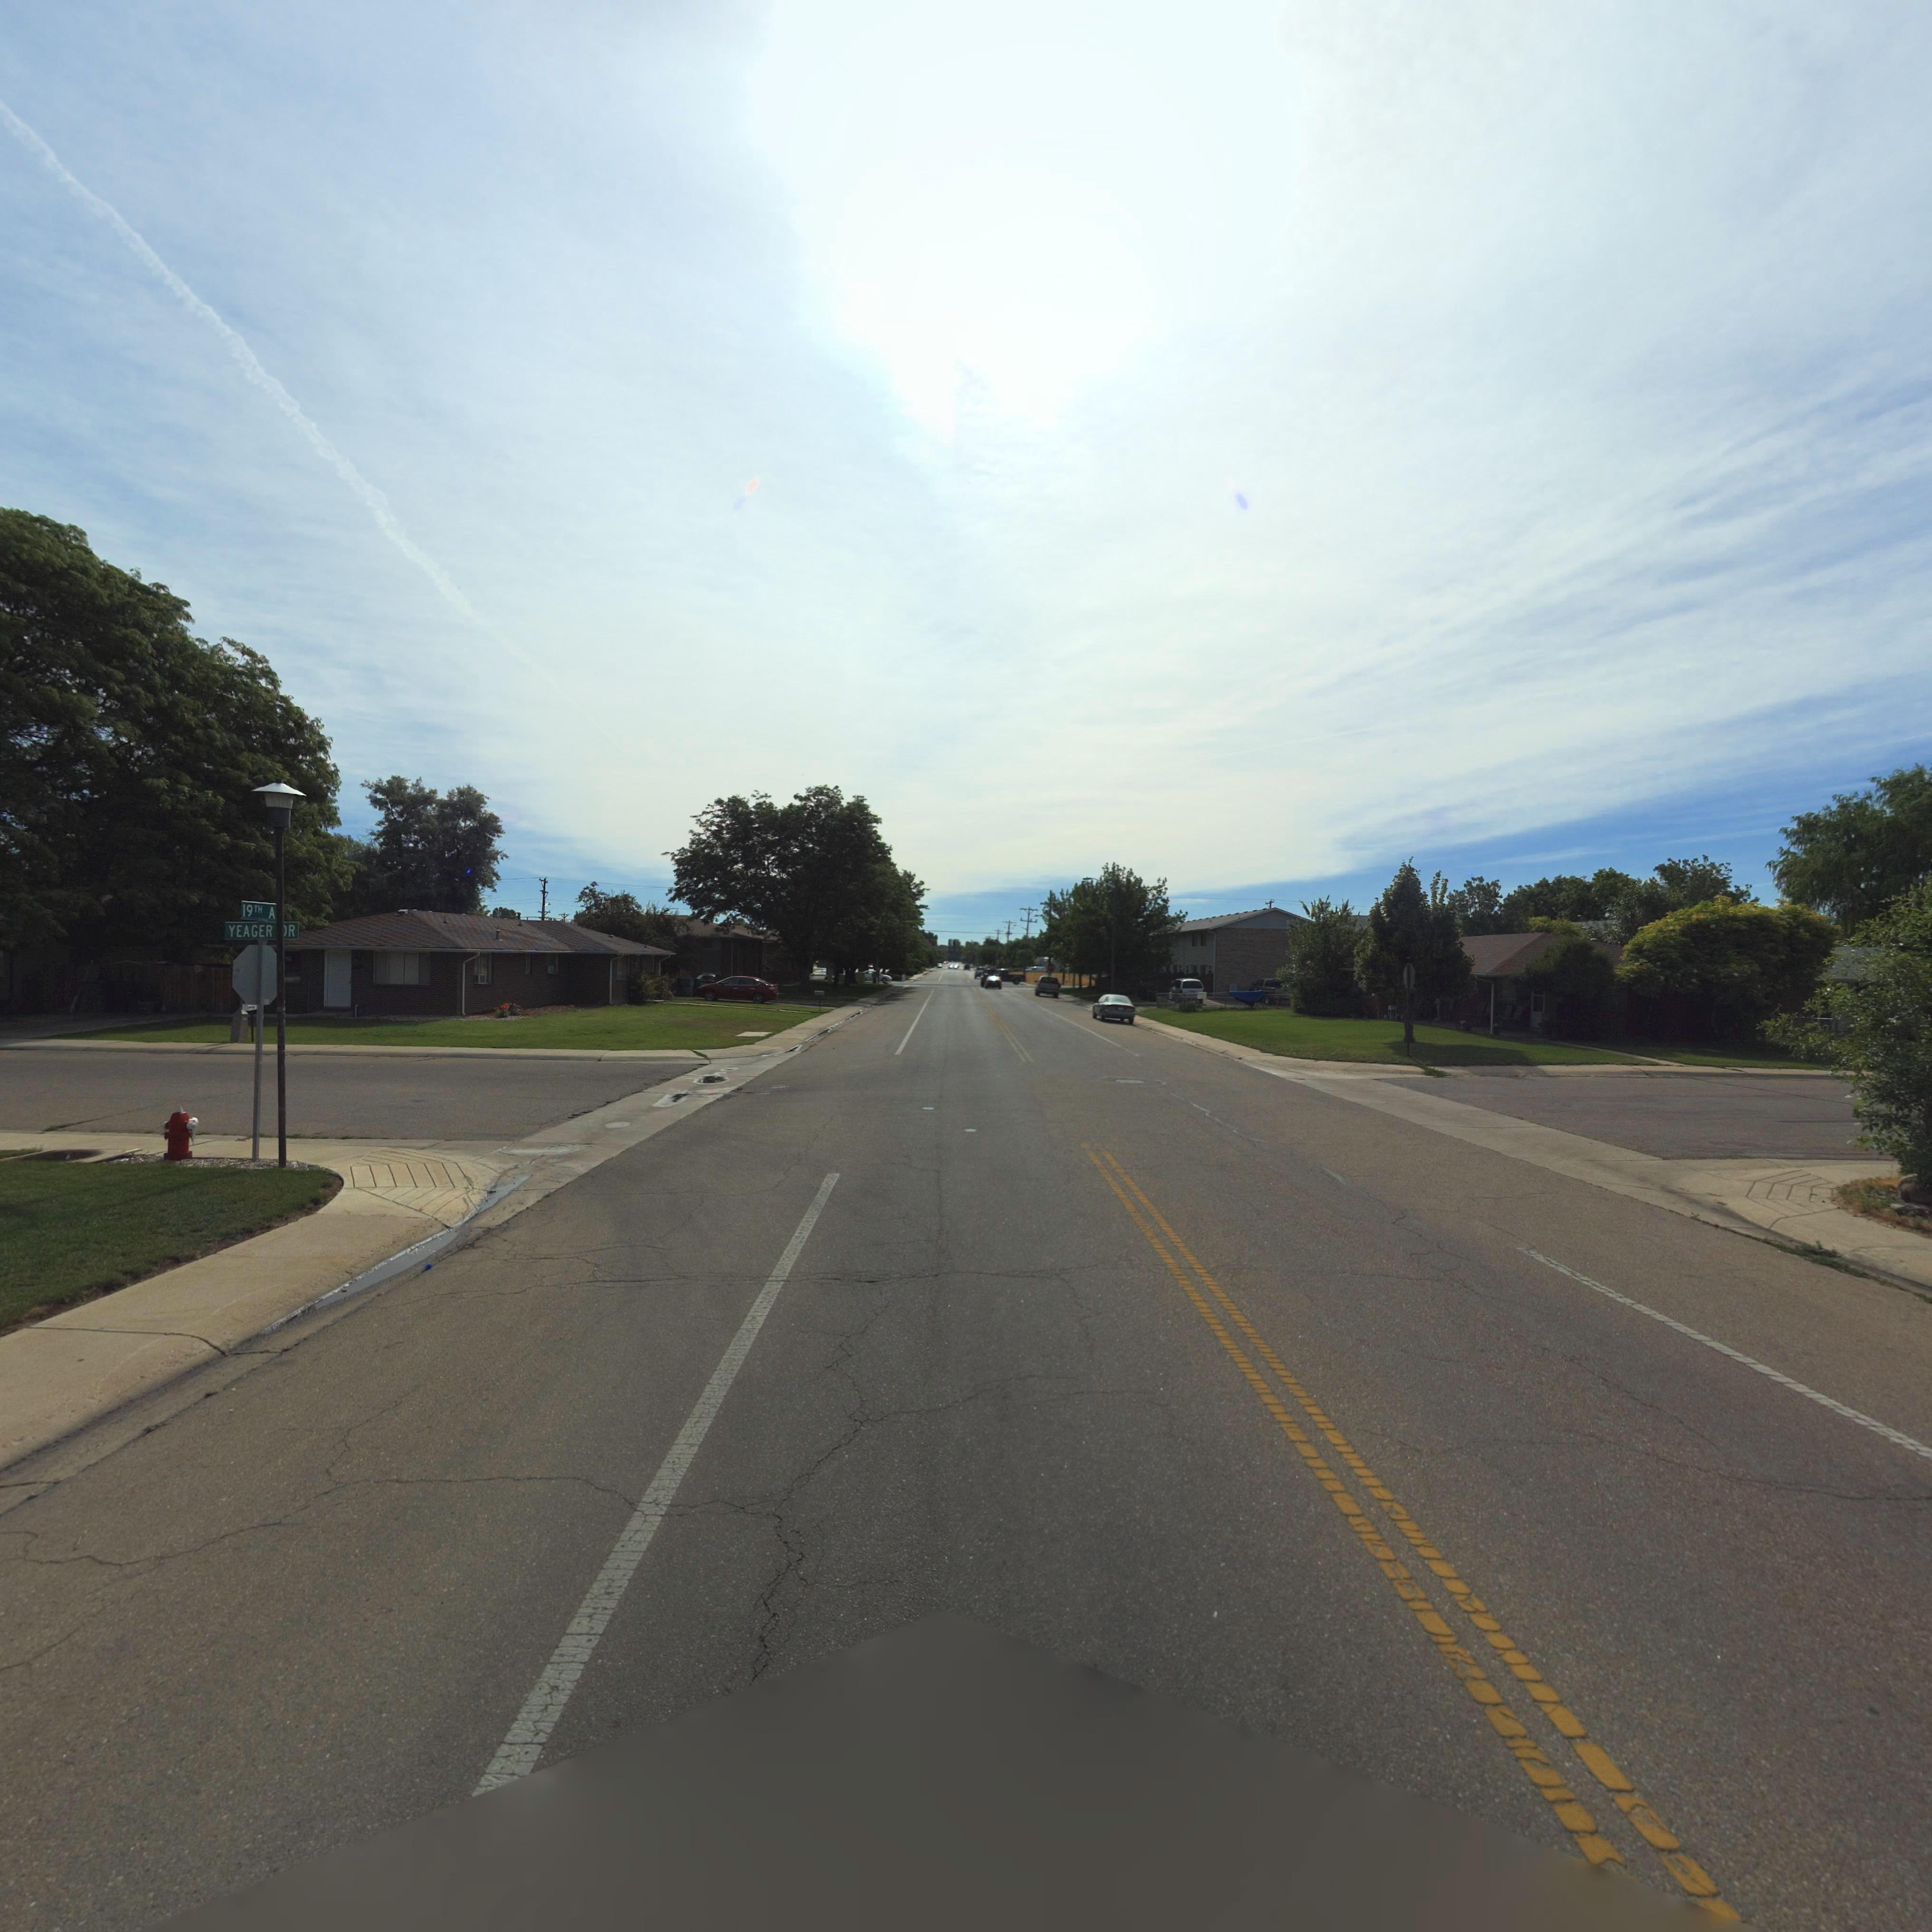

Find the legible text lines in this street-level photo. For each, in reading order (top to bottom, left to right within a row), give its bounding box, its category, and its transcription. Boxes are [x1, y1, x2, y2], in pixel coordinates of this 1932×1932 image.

[242, 903, 276, 919] StreetName: 19TH A
[228, 924, 296, 937] StreetName: YEAGER *R